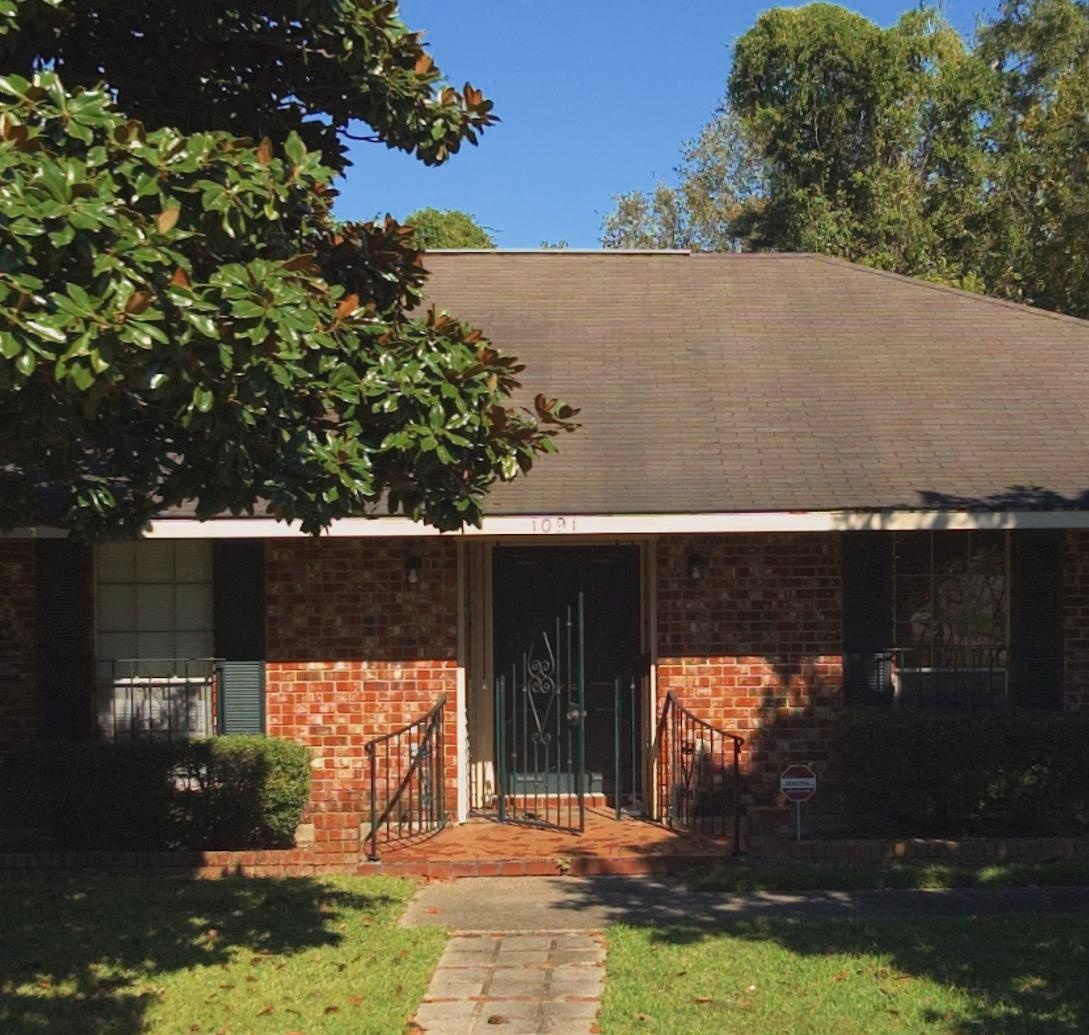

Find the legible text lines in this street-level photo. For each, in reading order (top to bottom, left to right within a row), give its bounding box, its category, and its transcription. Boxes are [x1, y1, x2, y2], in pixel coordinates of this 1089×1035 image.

[529, 516, 578, 534] StreetNumber: 1091